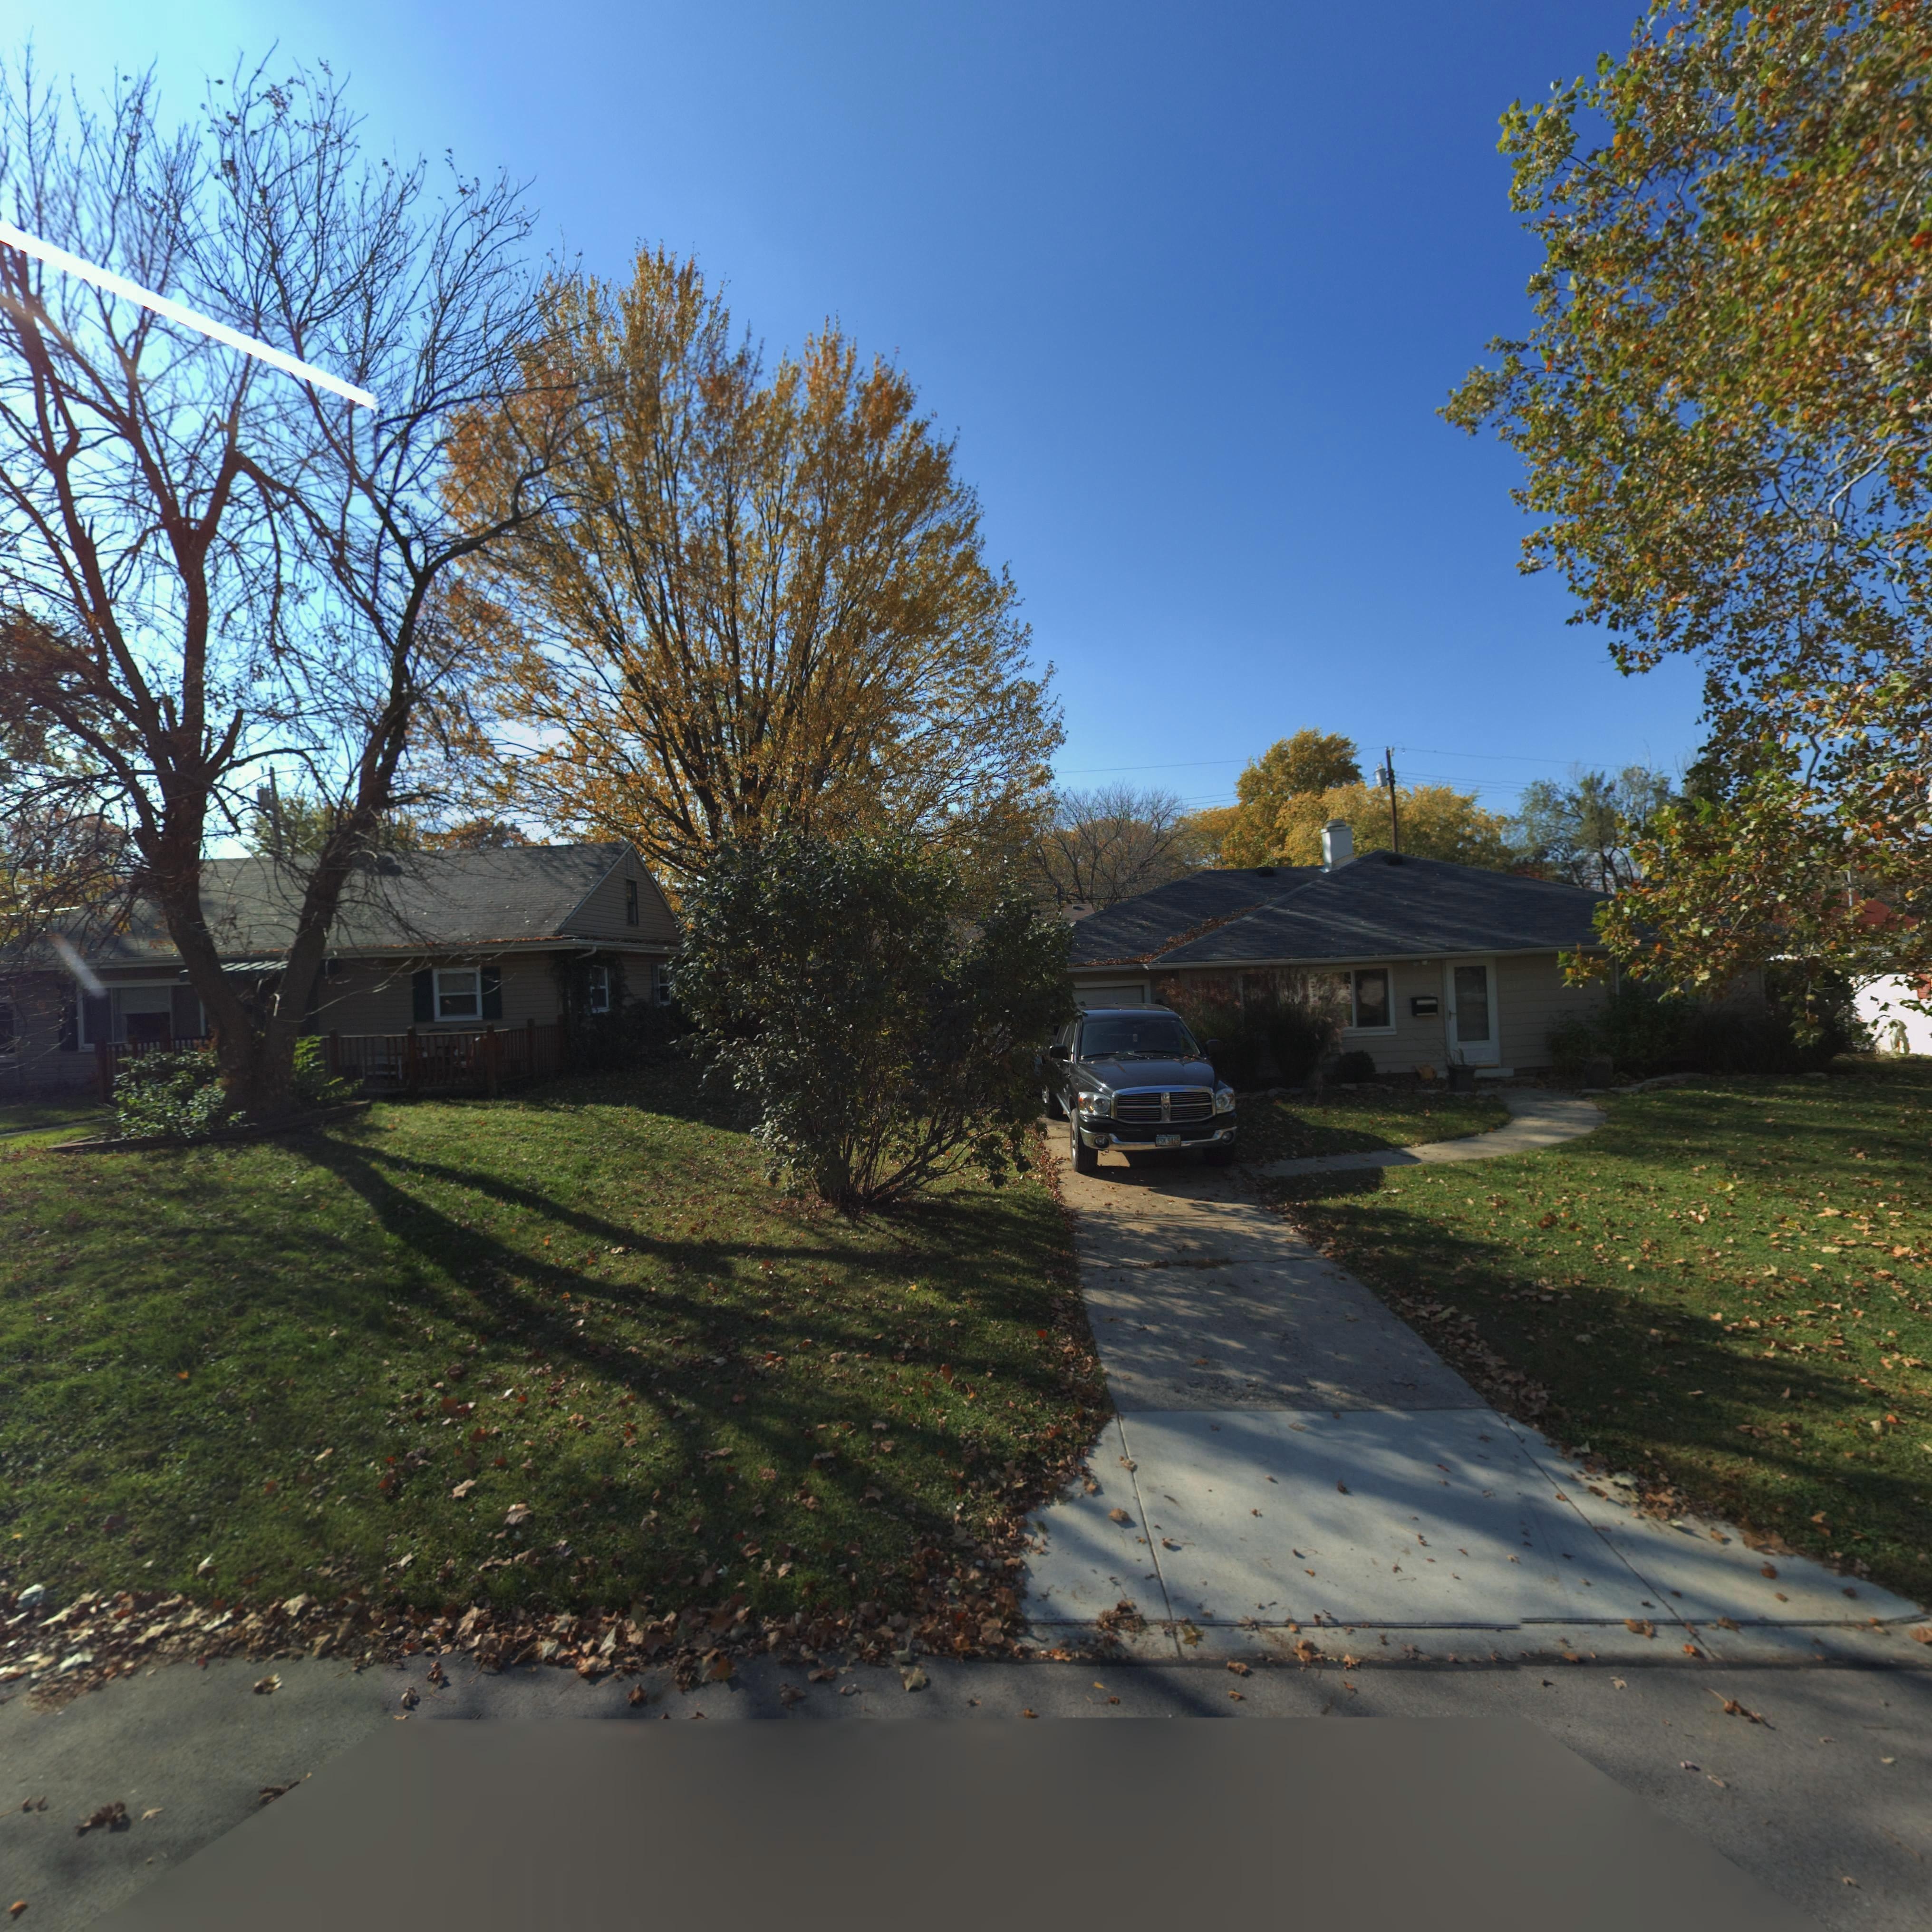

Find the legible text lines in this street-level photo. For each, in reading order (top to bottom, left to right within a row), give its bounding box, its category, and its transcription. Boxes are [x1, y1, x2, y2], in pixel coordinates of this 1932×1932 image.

[1156, 1137, 1179, 1144] None: ESK 9425